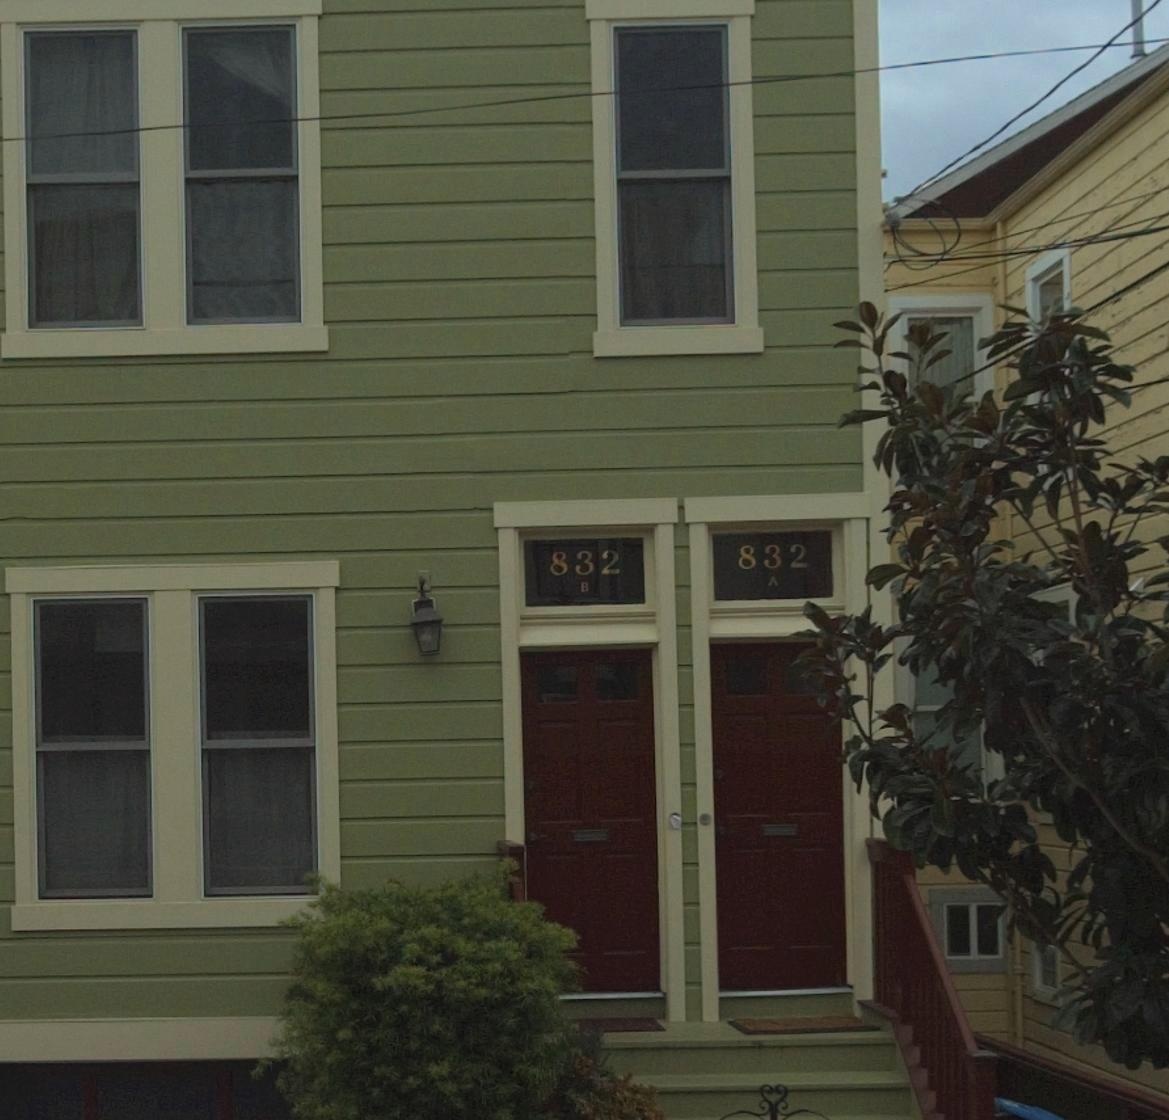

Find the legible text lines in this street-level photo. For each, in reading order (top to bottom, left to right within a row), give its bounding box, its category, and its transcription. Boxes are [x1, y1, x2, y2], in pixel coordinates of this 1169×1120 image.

[548, 548, 622, 578] StreetNumber: 832
[737, 543, 810, 570] StreetNumber: 832
[579, 581, 591, 593] StreetNumber: B
[766, 574, 780, 587] StreetNumber: A